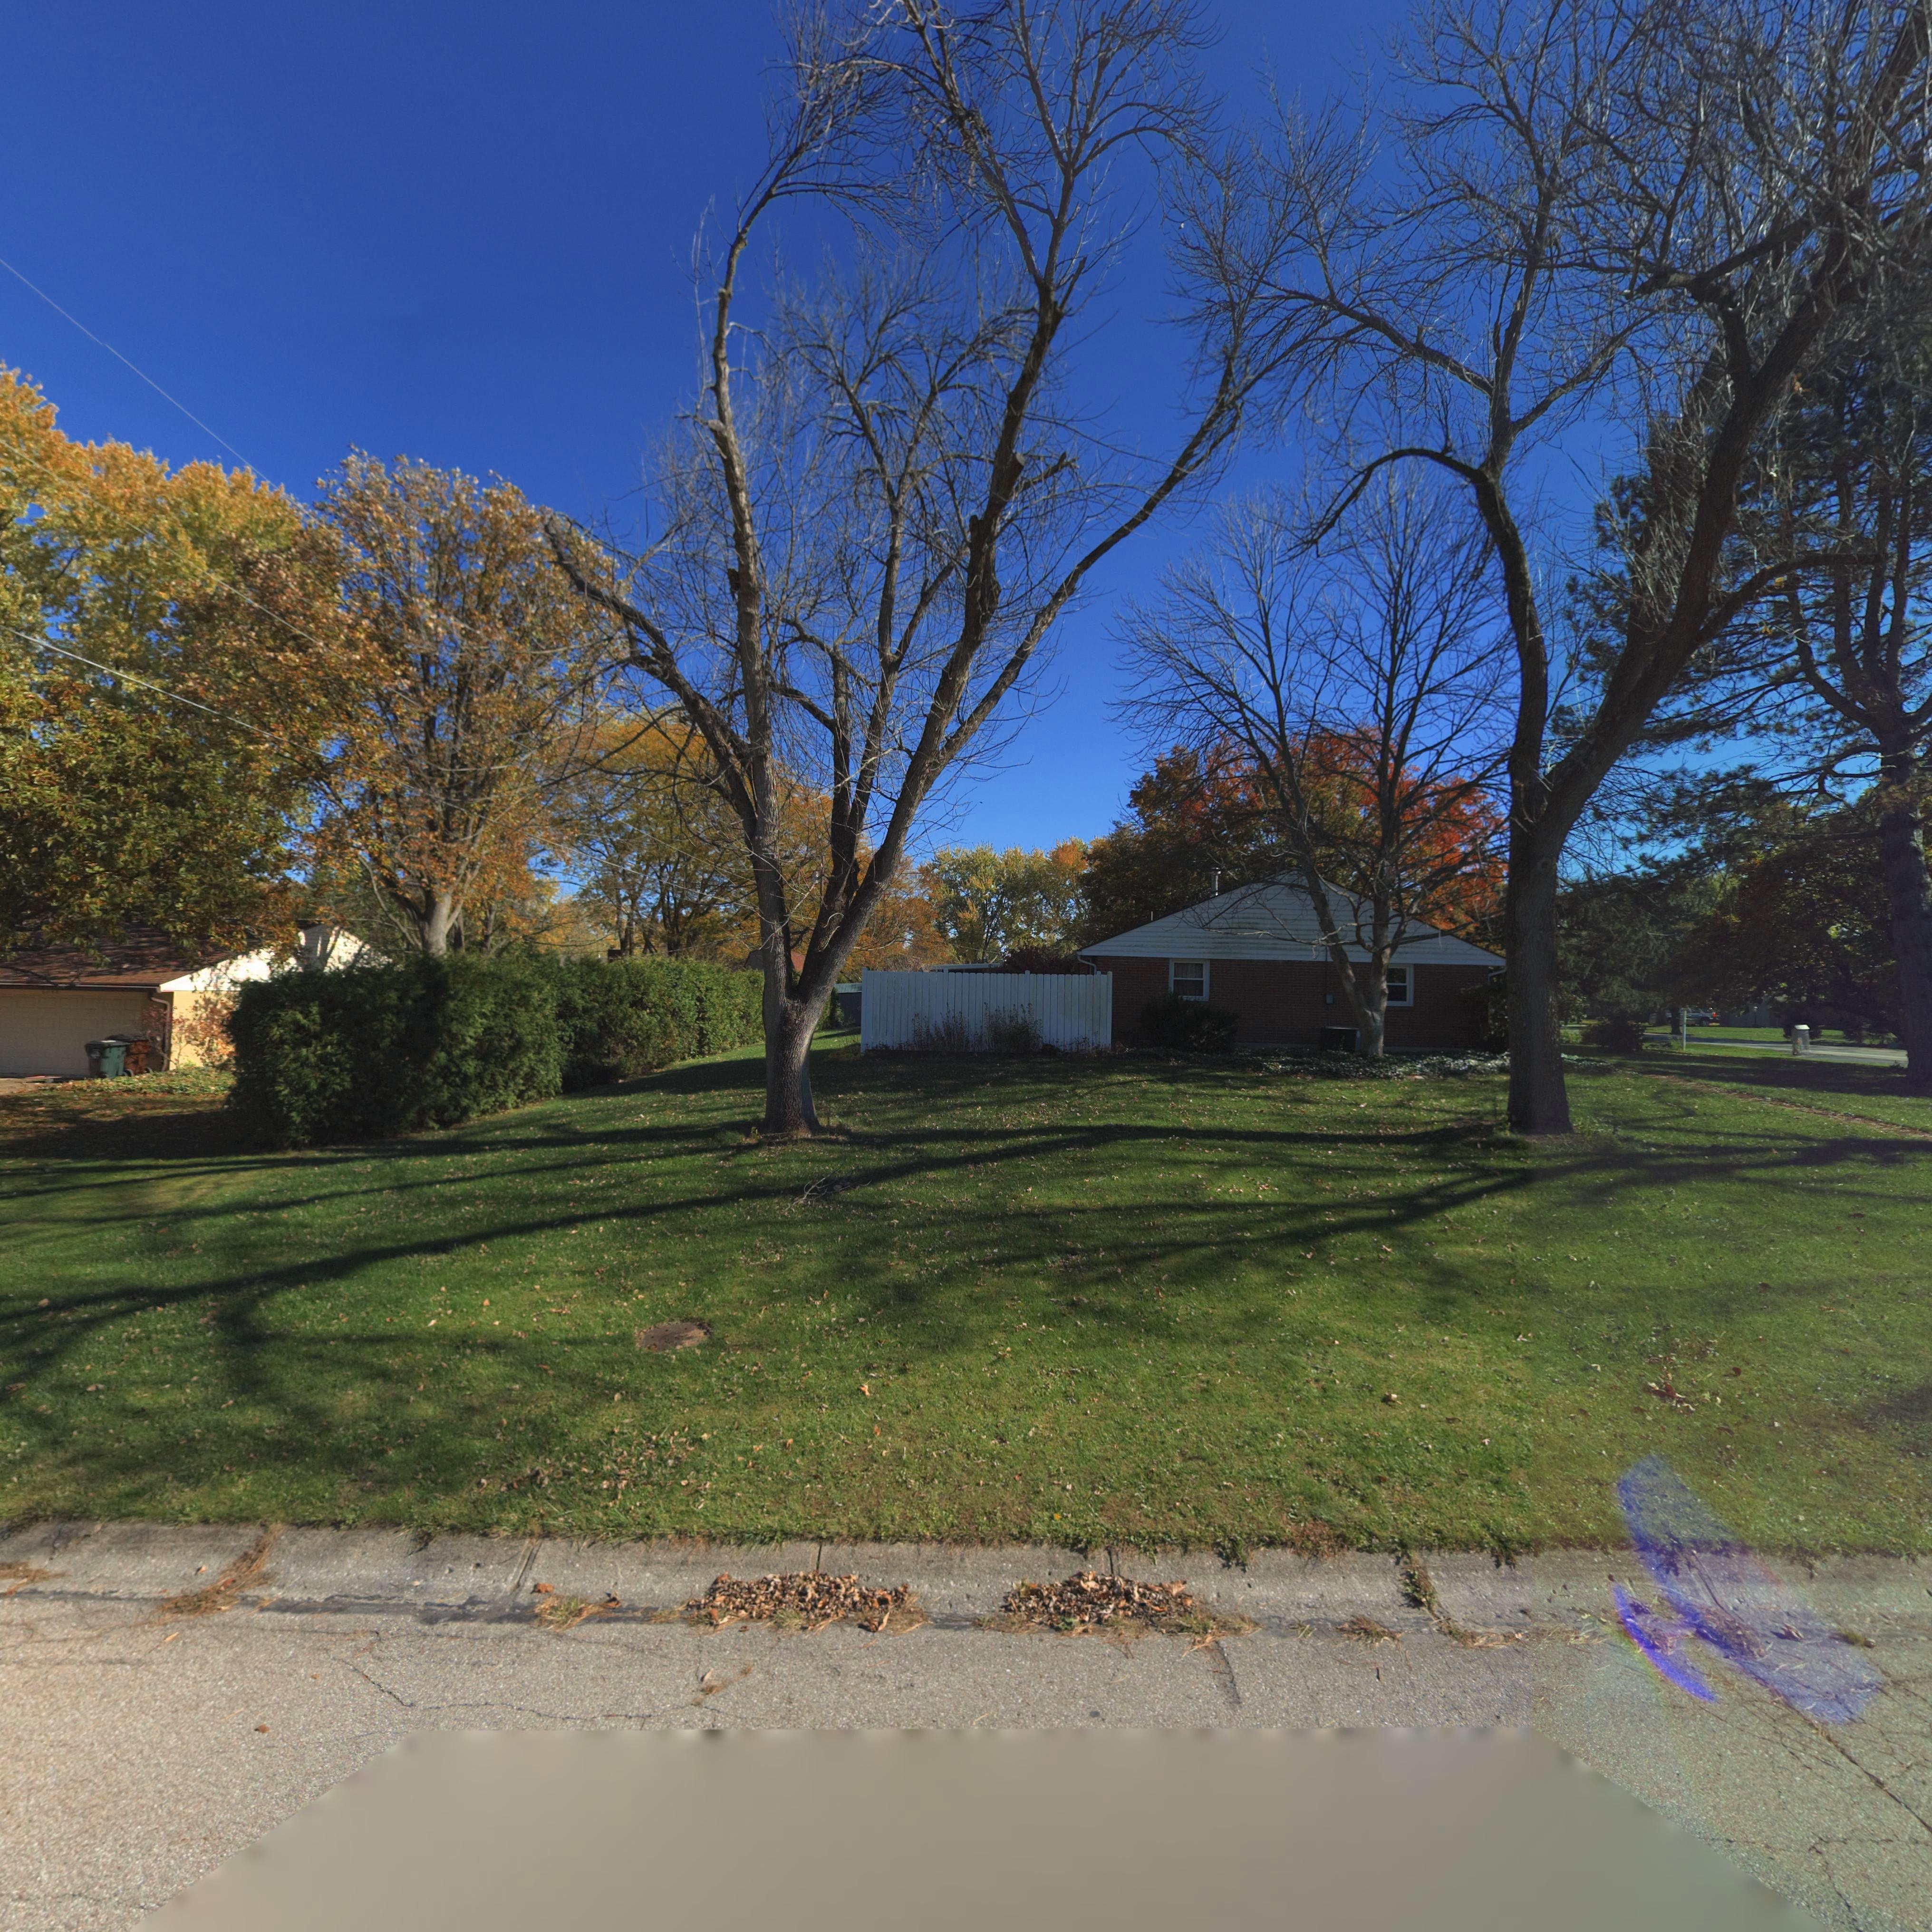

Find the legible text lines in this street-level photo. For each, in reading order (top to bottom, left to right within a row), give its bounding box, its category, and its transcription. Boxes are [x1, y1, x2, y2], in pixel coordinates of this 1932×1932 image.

[41, 989, 59, 995] StreetNumber: 6**8